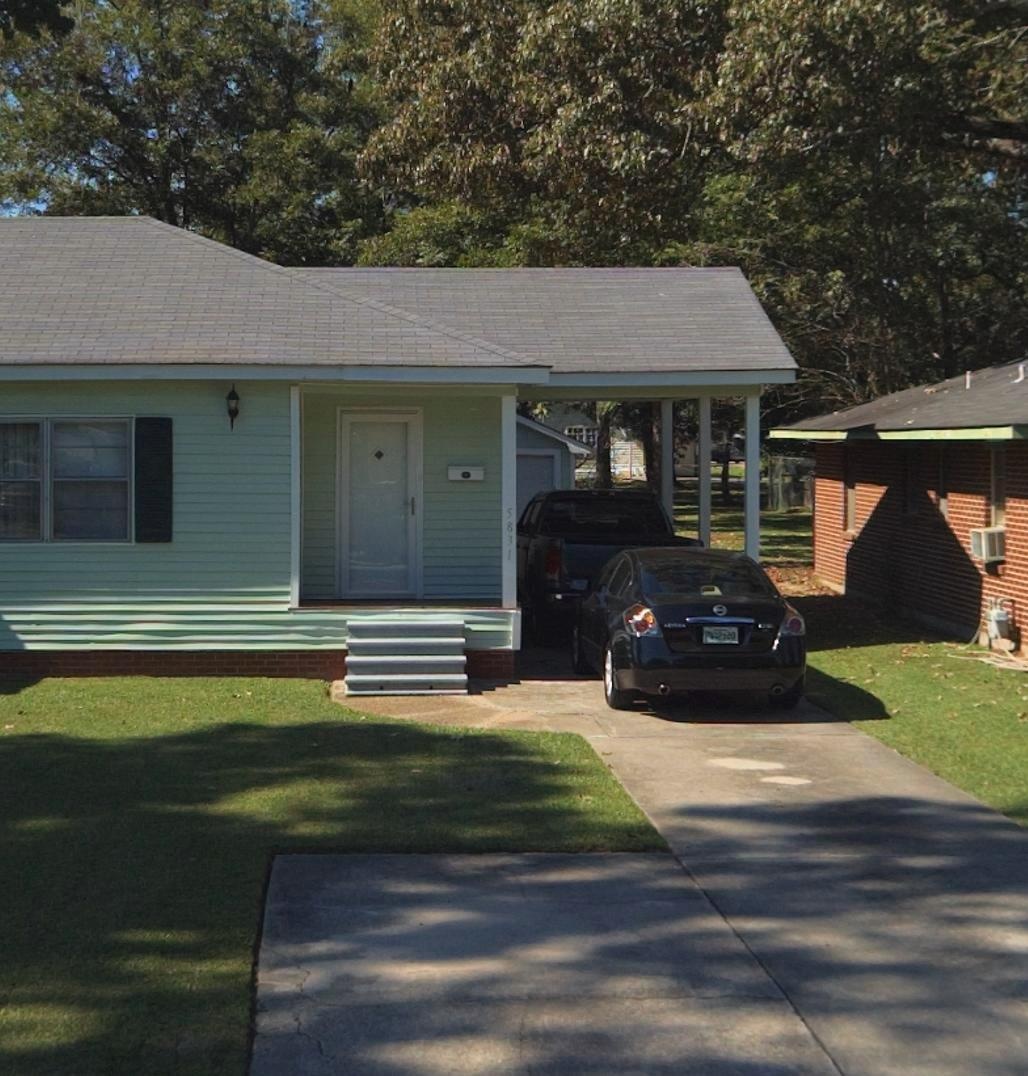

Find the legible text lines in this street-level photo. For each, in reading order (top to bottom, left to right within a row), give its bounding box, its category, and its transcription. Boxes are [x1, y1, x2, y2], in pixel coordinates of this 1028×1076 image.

[505, 507, 514, 562] StreetNumber: 5831